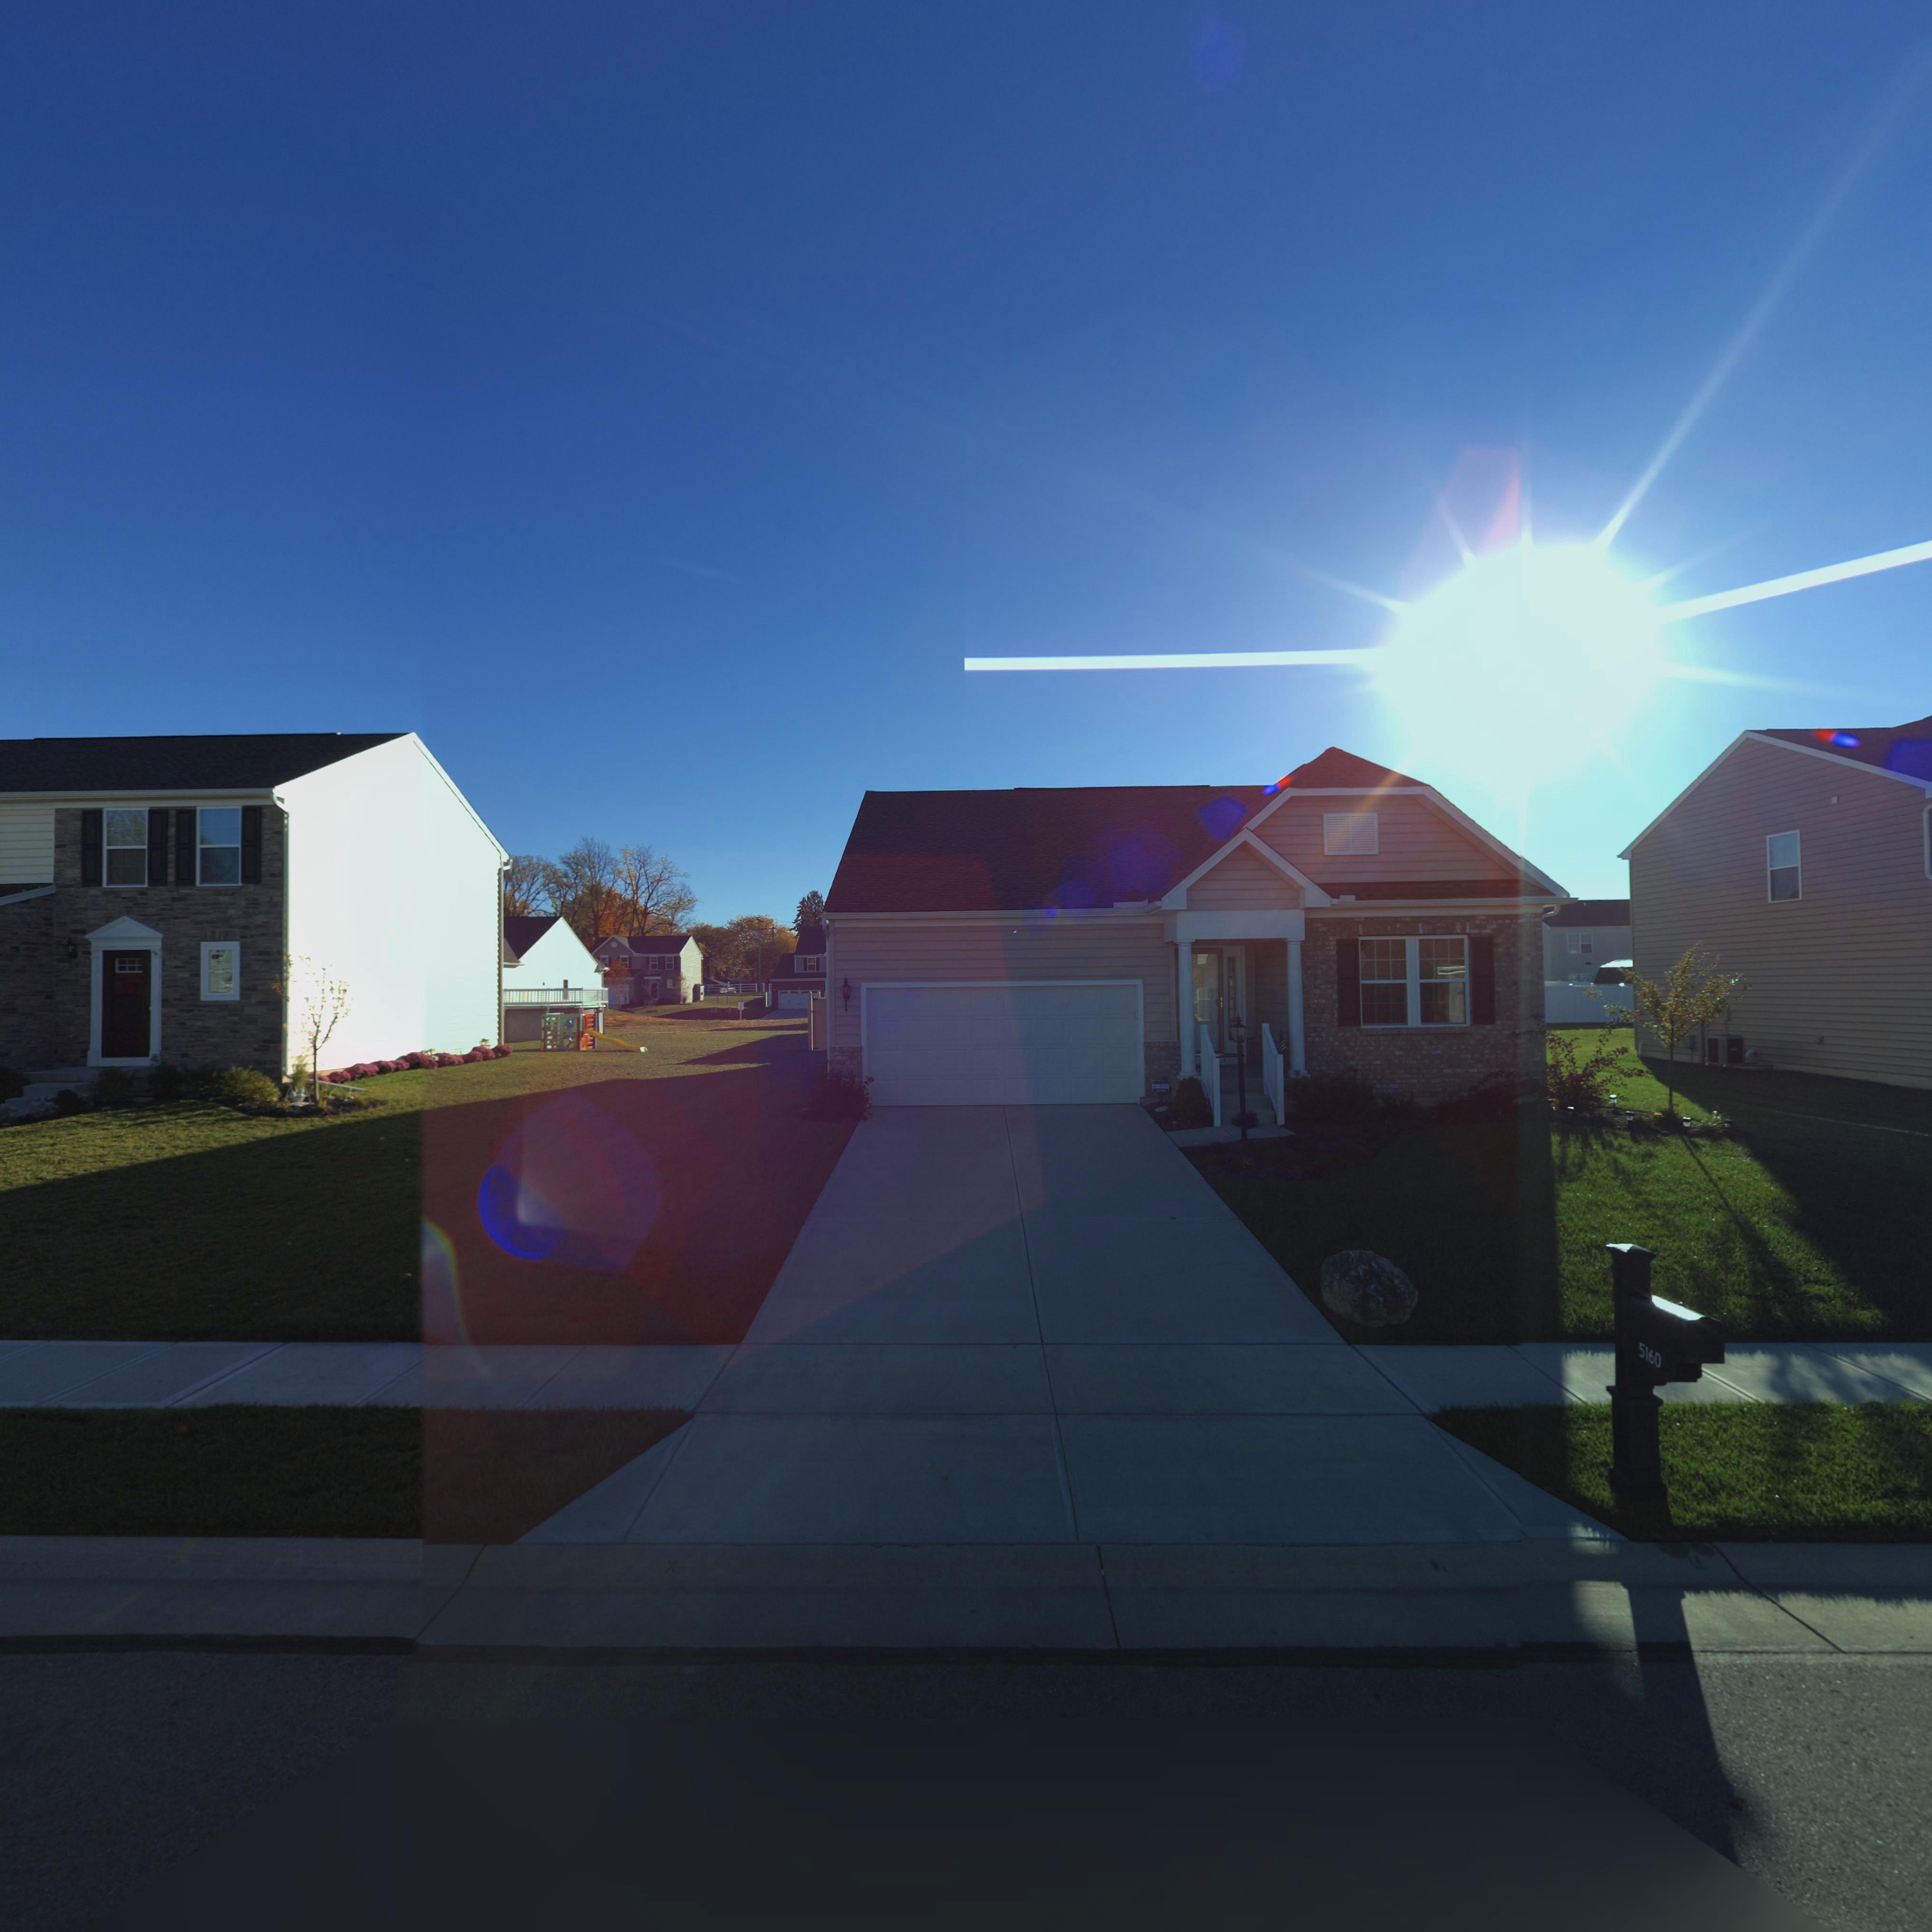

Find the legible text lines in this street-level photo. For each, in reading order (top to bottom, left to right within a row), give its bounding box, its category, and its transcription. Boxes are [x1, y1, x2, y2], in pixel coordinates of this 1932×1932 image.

[1637, 1340, 1663, 1370] StreetNumber: 5160